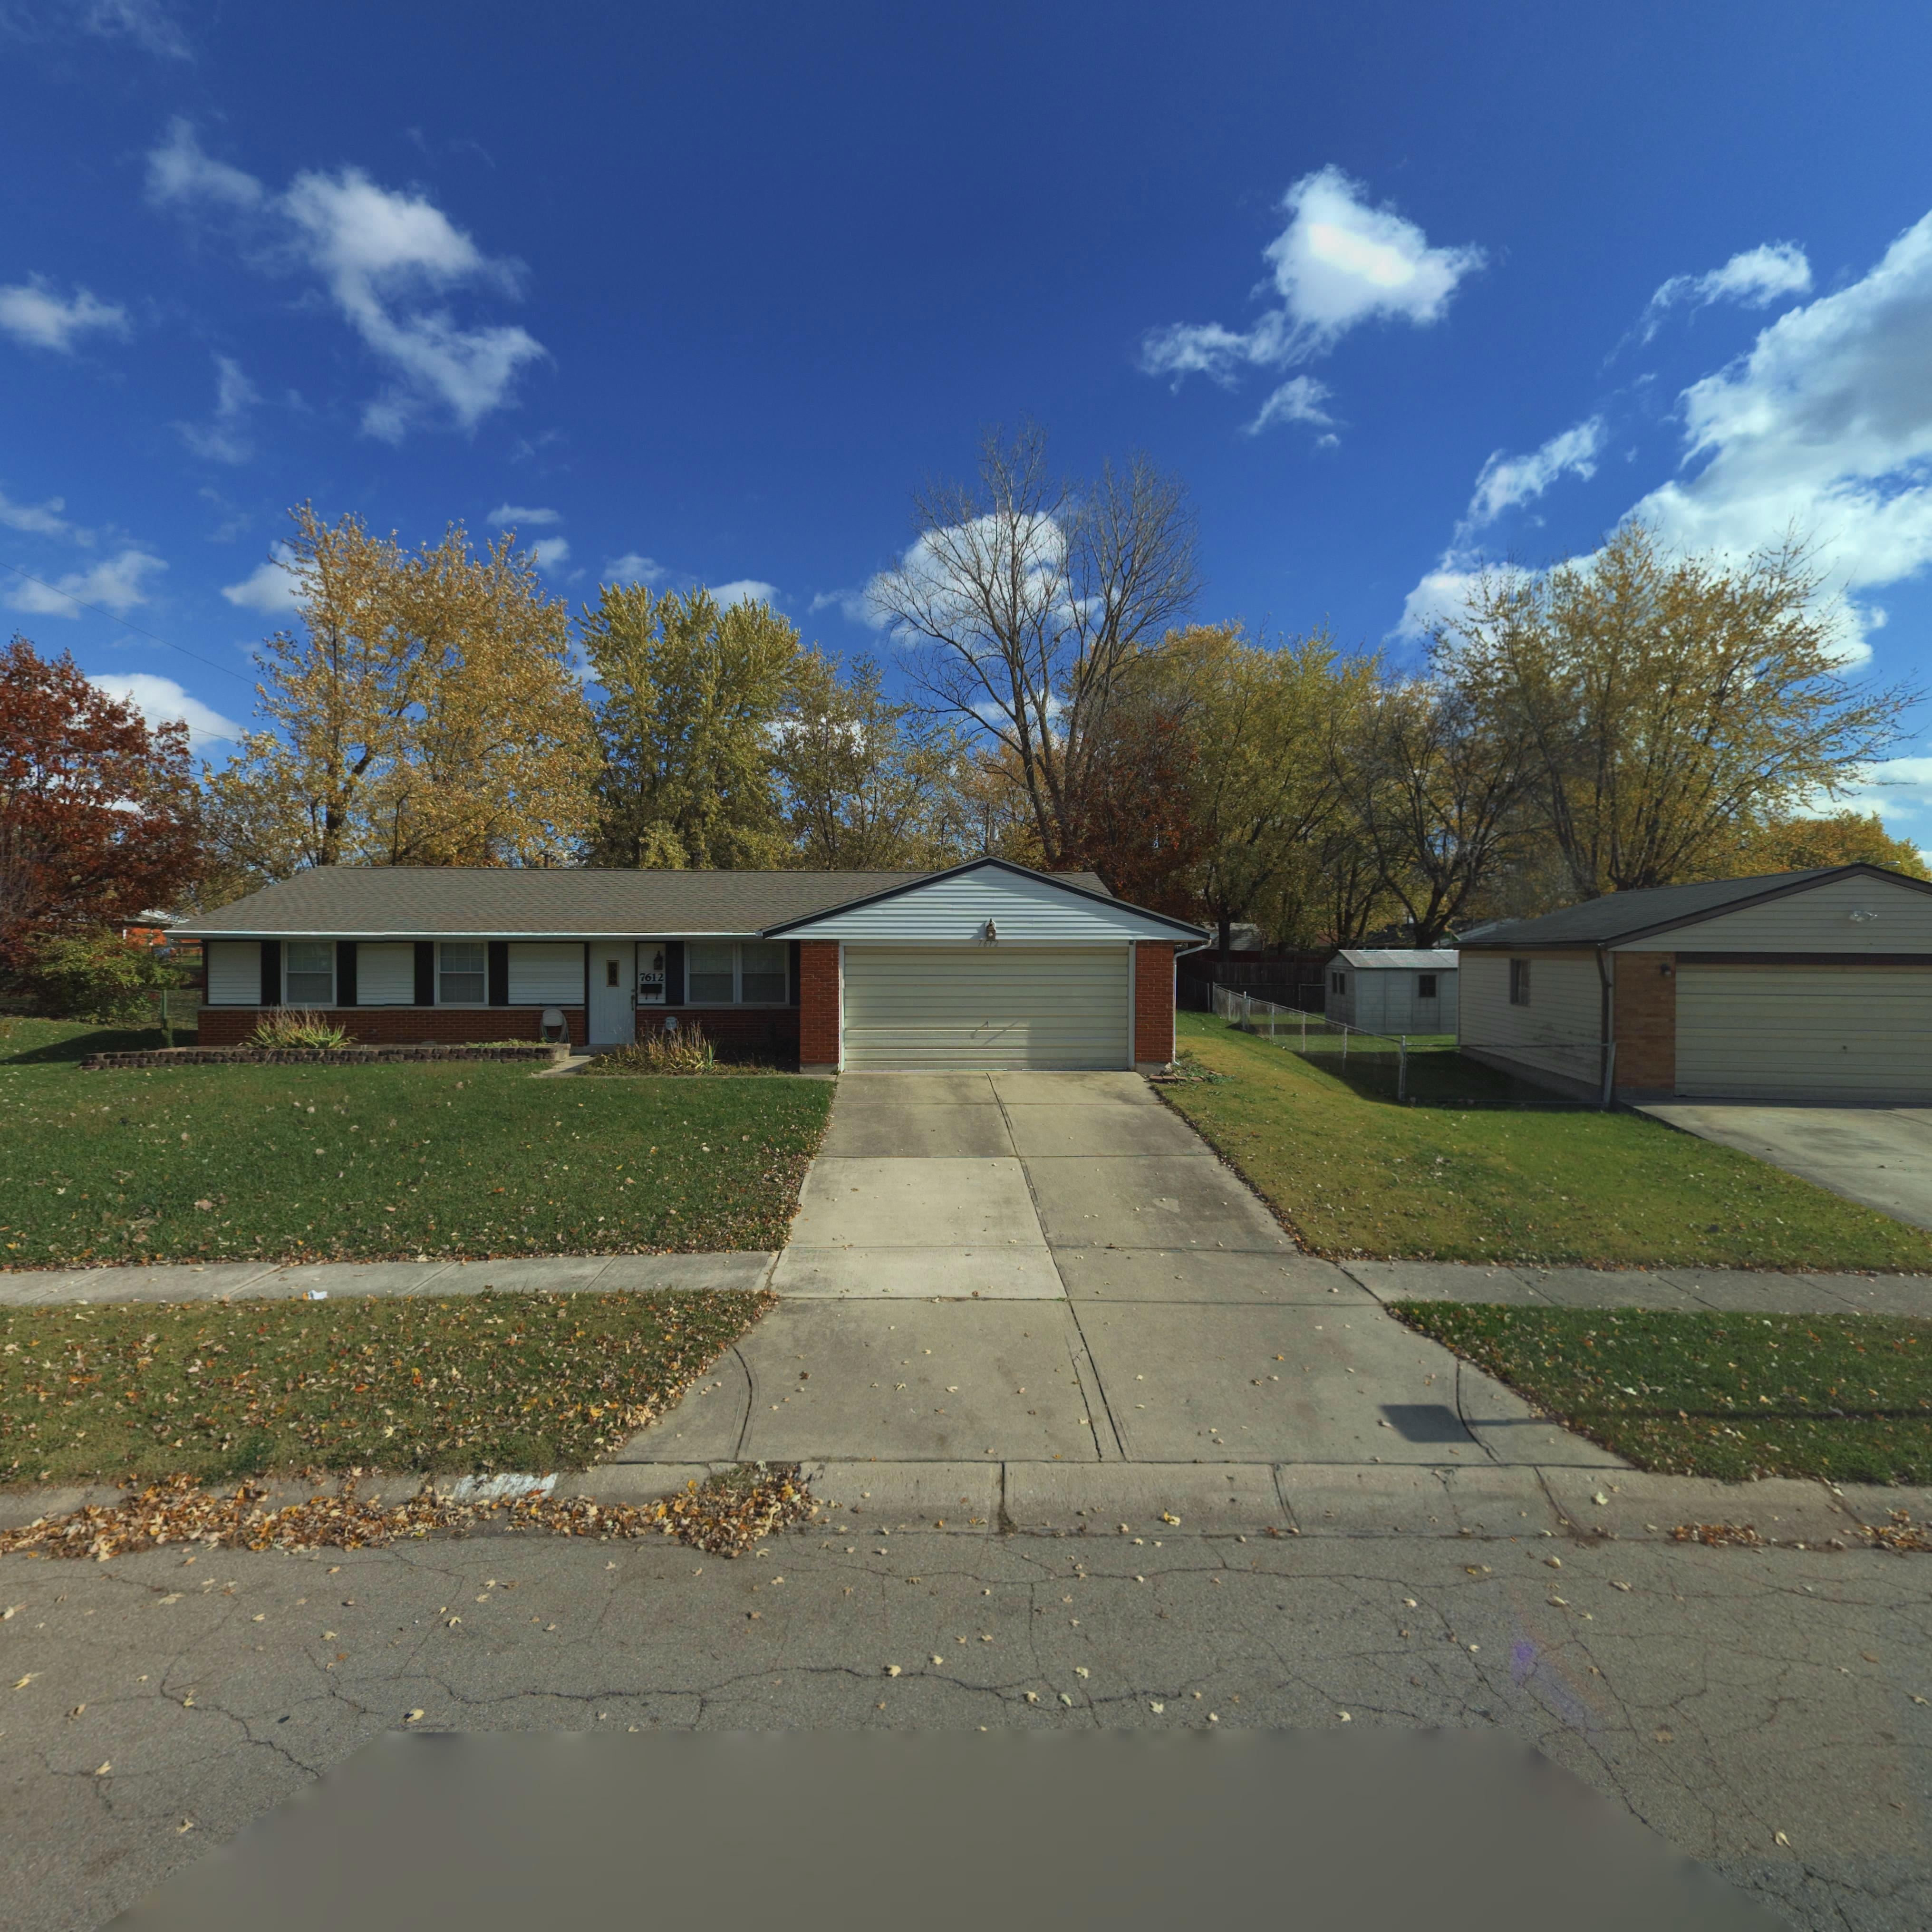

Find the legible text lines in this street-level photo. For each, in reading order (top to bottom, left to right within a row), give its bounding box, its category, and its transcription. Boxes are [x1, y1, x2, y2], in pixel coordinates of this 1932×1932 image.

[638, 972, 665, 983] StreetNumber: 7612